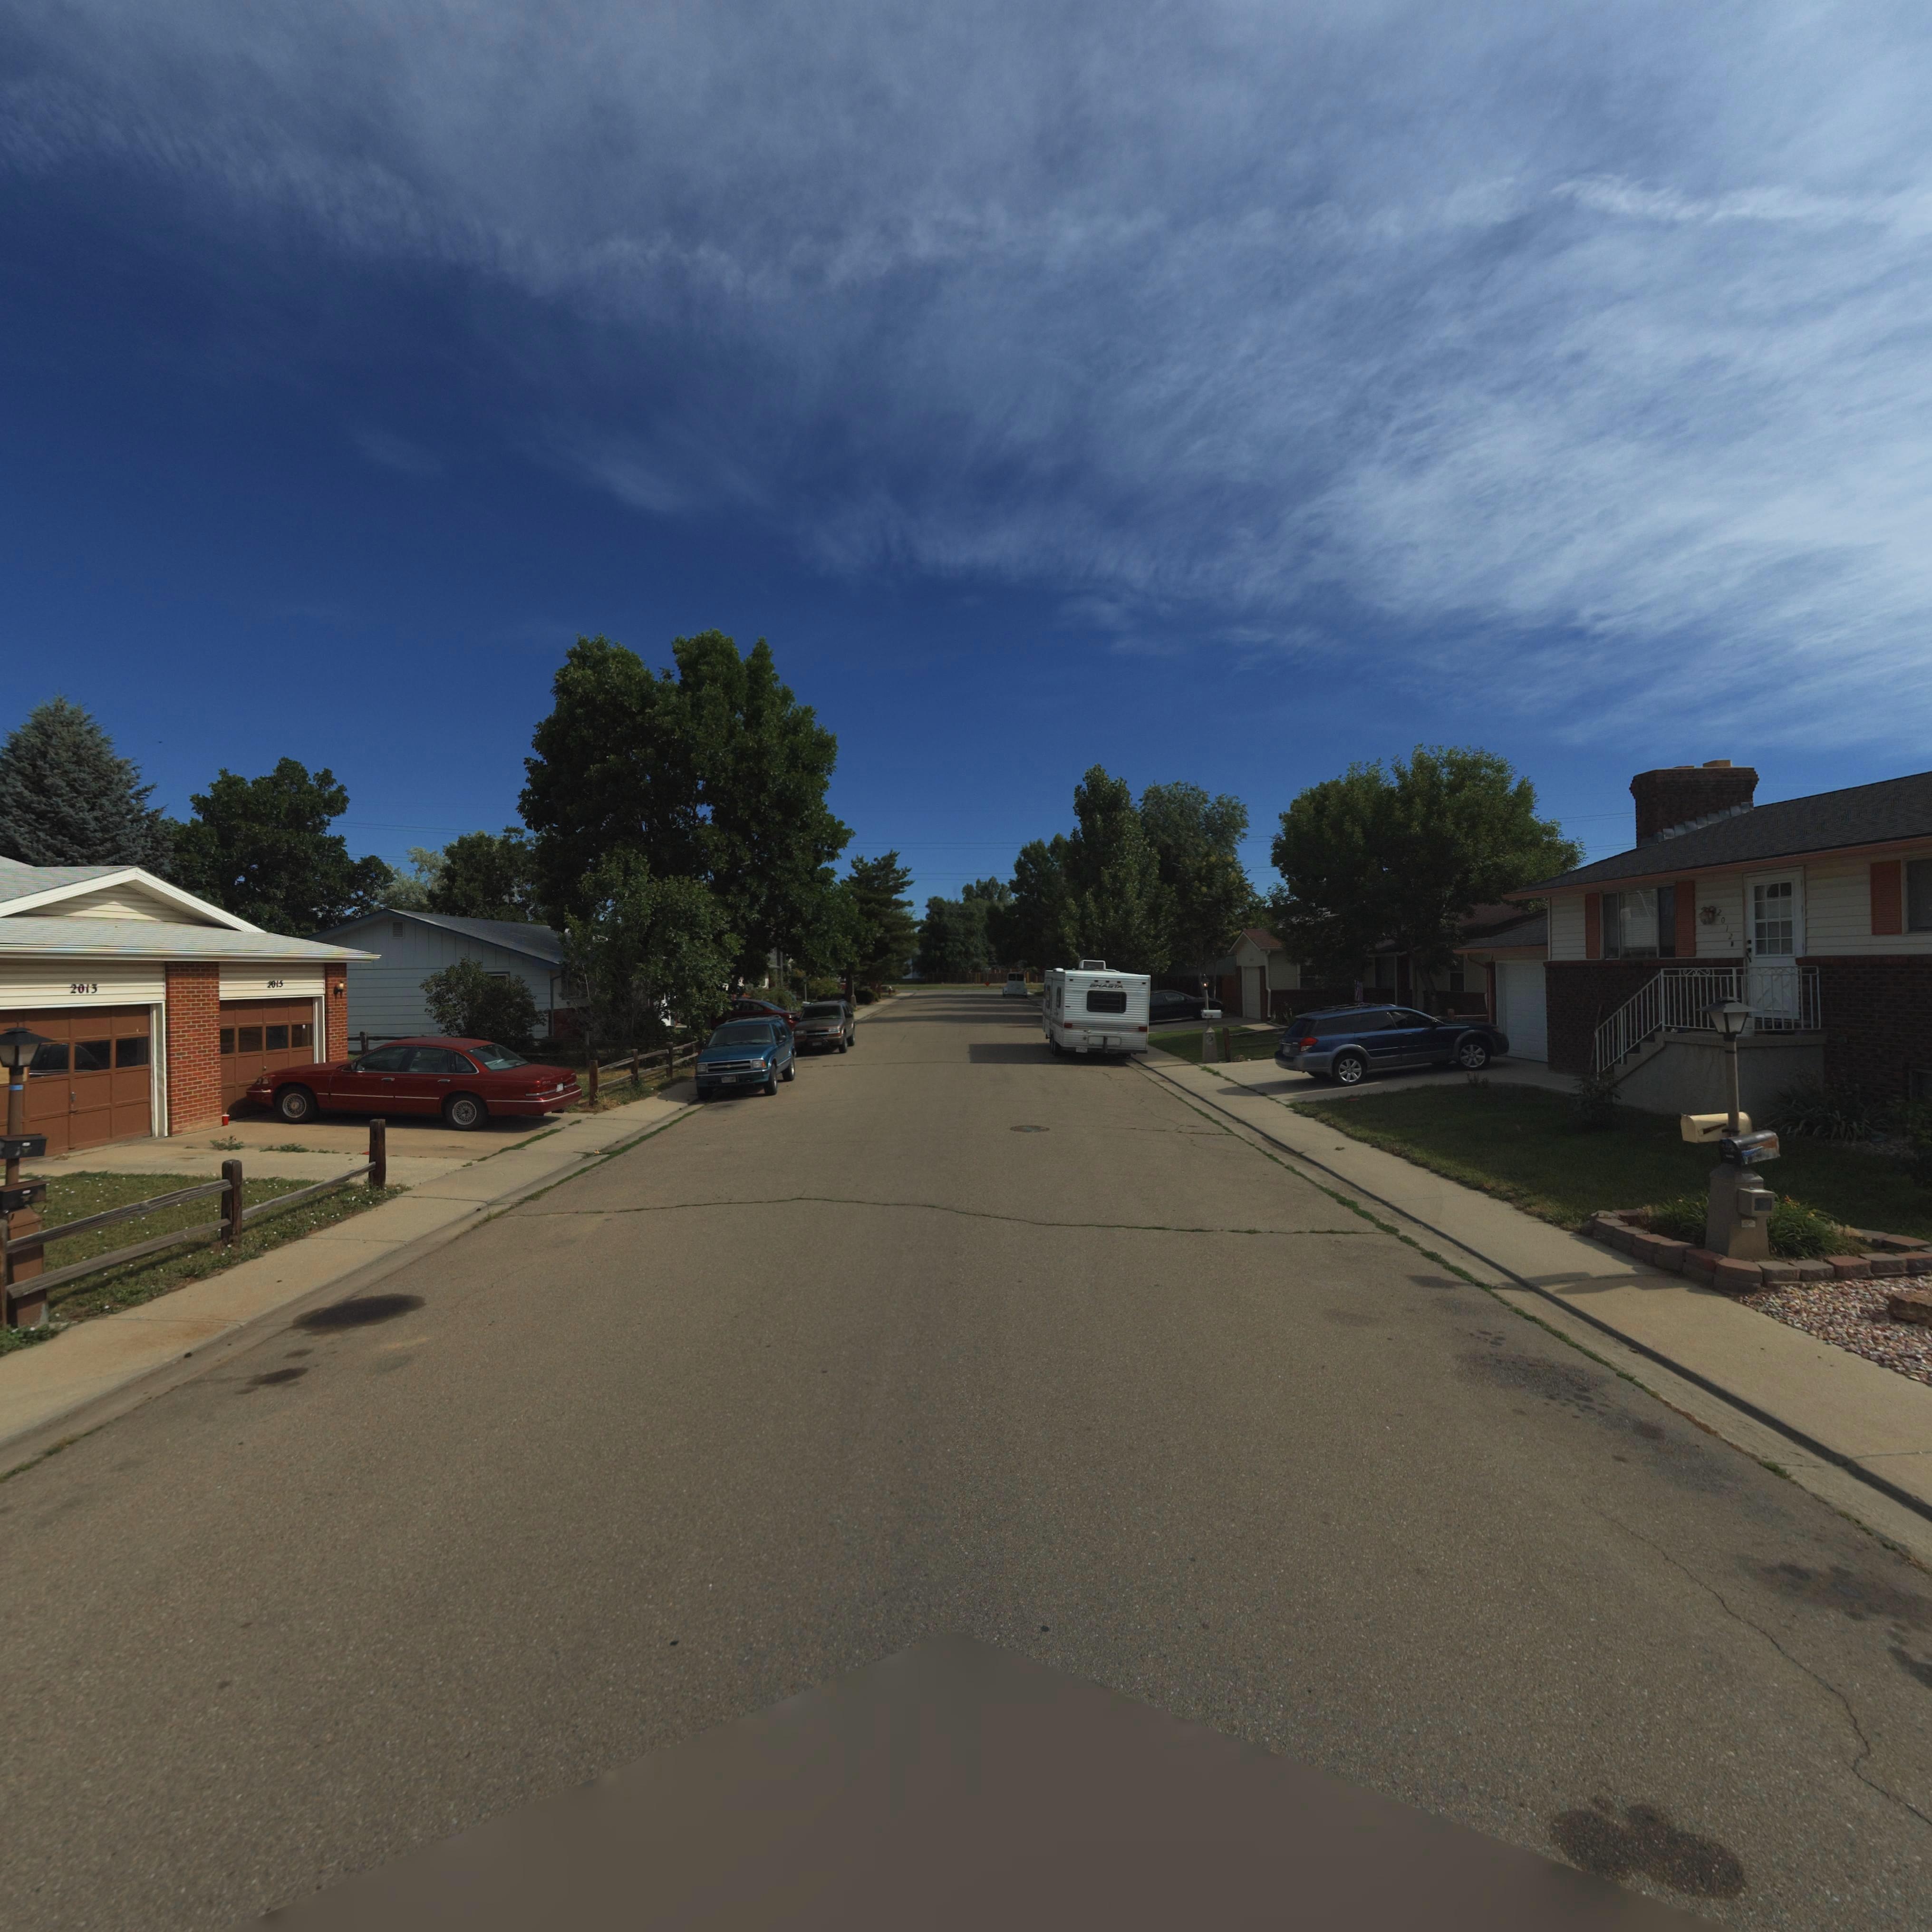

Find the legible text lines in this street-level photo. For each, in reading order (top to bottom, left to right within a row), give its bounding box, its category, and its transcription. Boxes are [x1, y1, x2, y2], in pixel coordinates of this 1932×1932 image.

[1715, 907, 1733, 940] StreetNumber: 2012
[69, 983, 97, 994] StreetNumber: 2013
[266, 979, 283, 989] StreetNumber: 2015